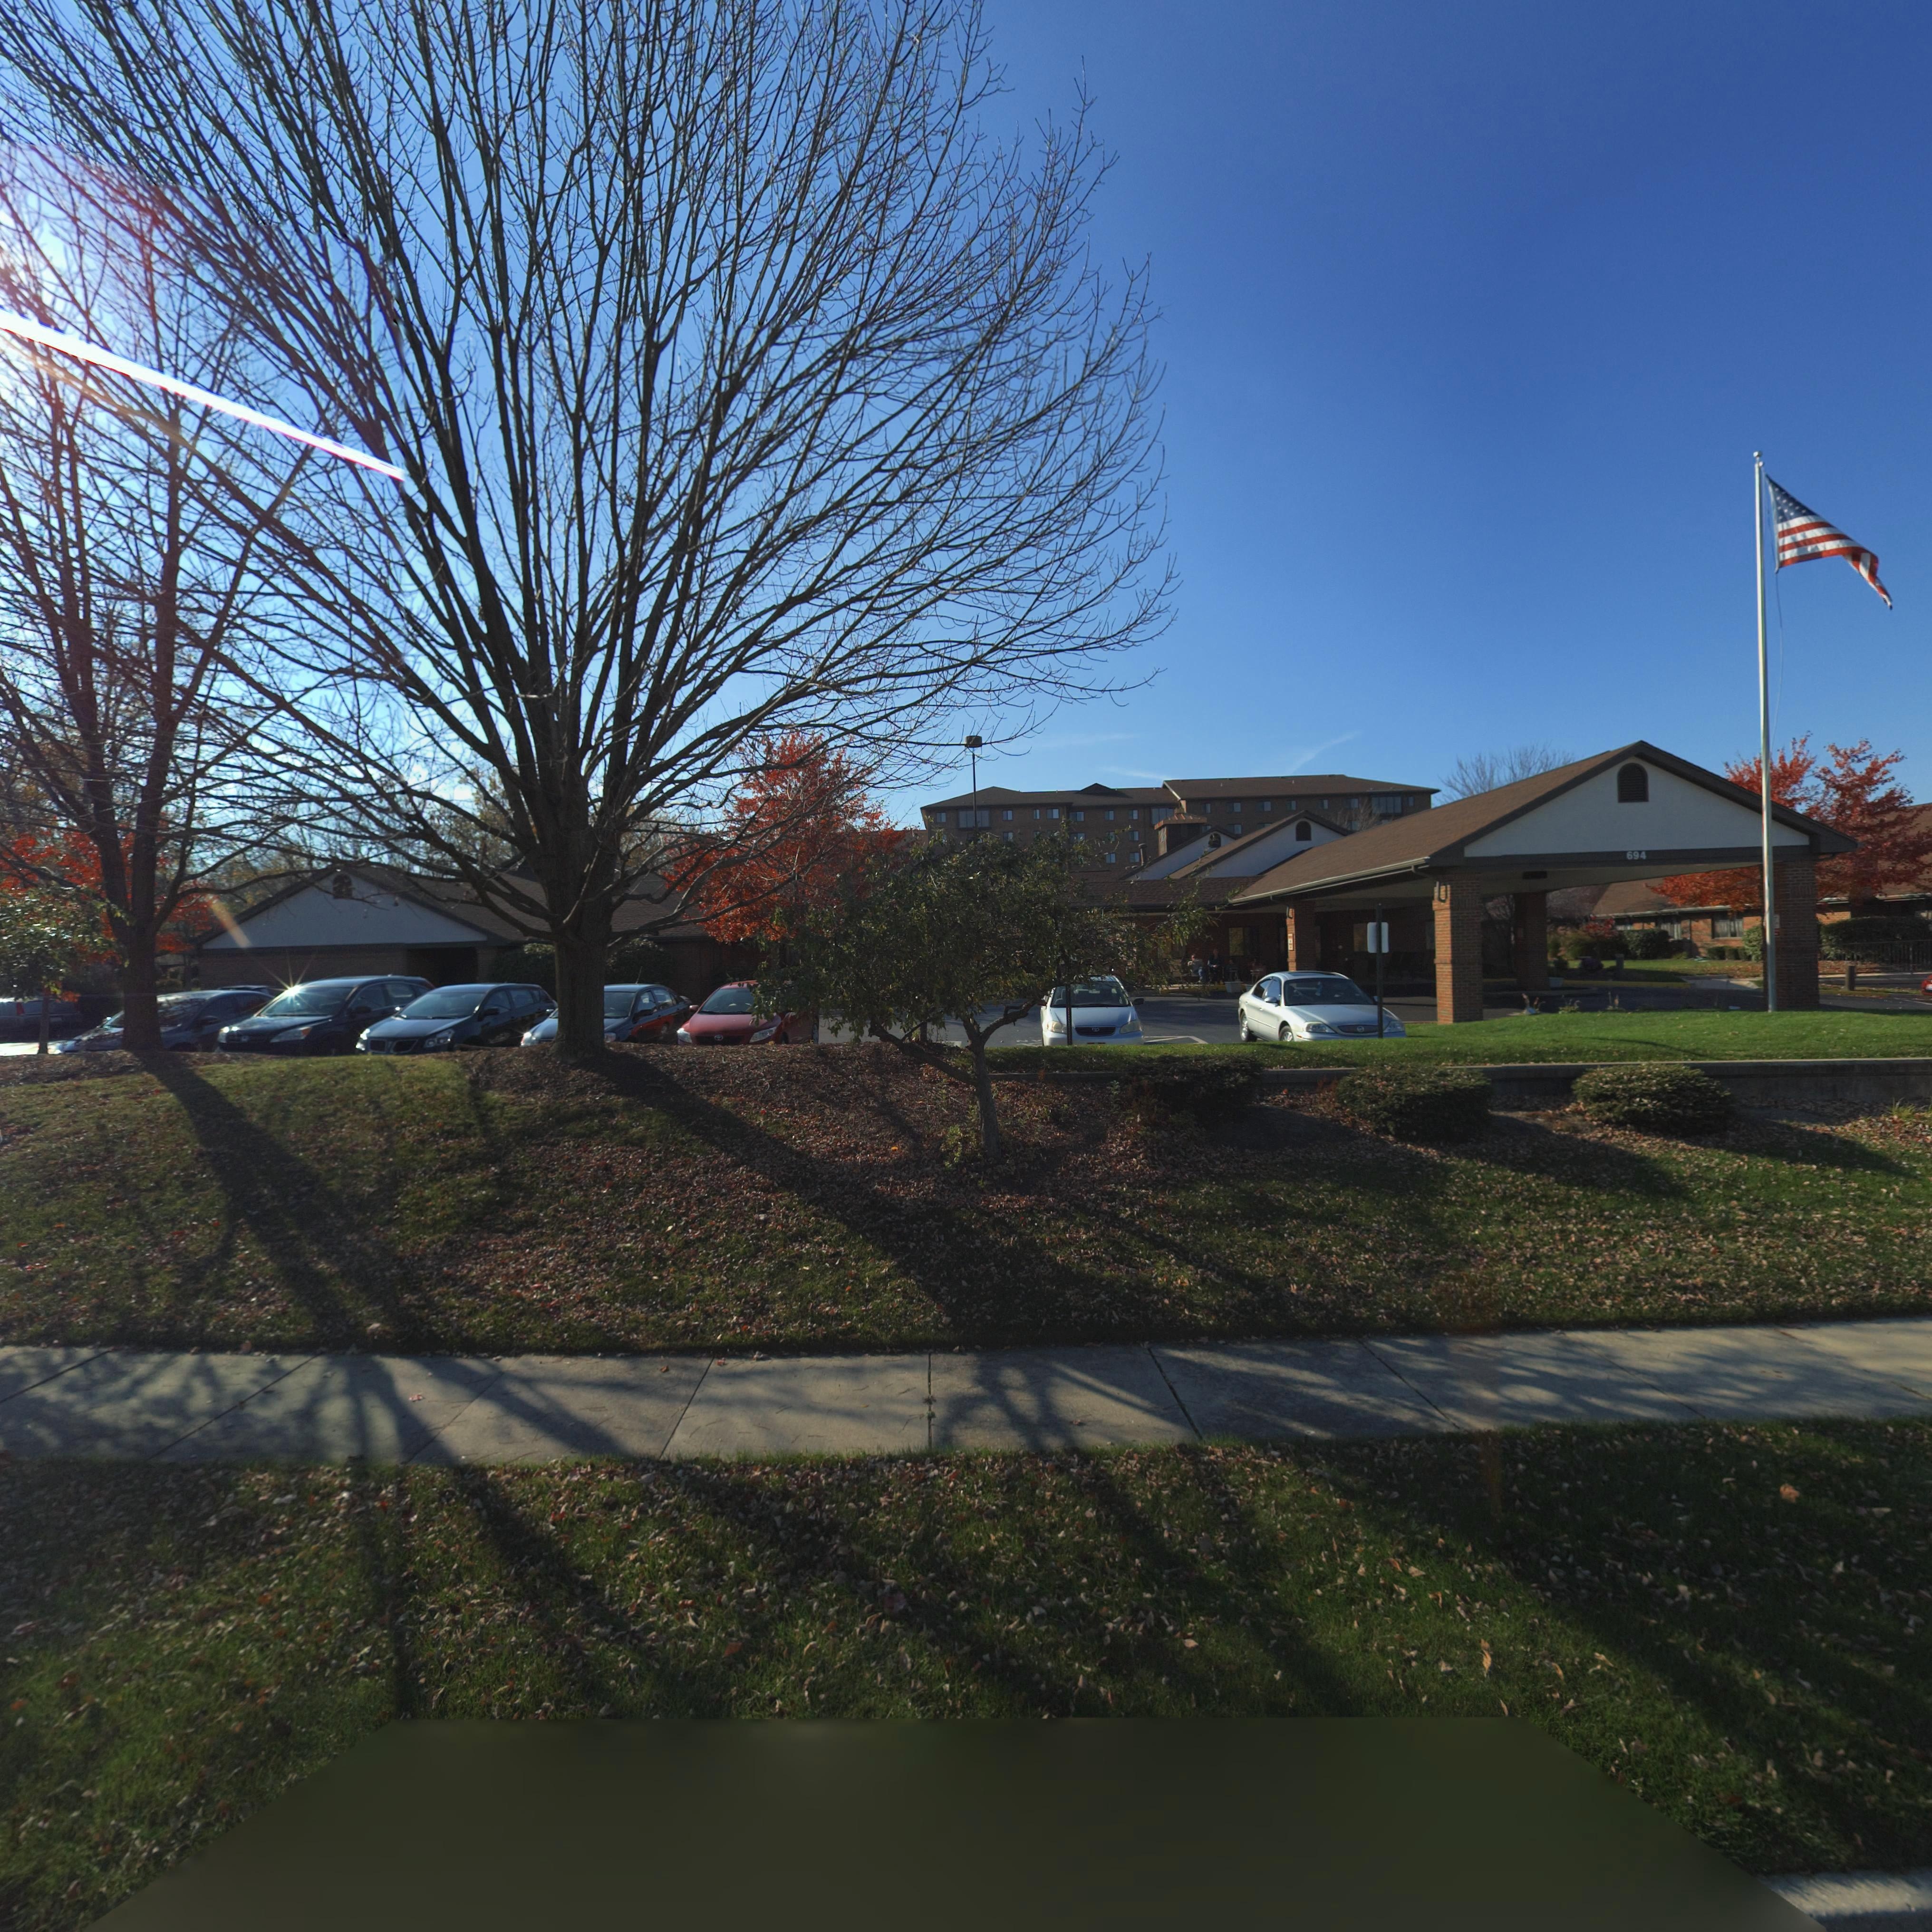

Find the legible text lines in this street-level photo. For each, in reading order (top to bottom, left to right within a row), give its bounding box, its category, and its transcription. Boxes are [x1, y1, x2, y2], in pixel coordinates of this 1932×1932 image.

[1626, 851, 1647, 860] StreetNumber: 694